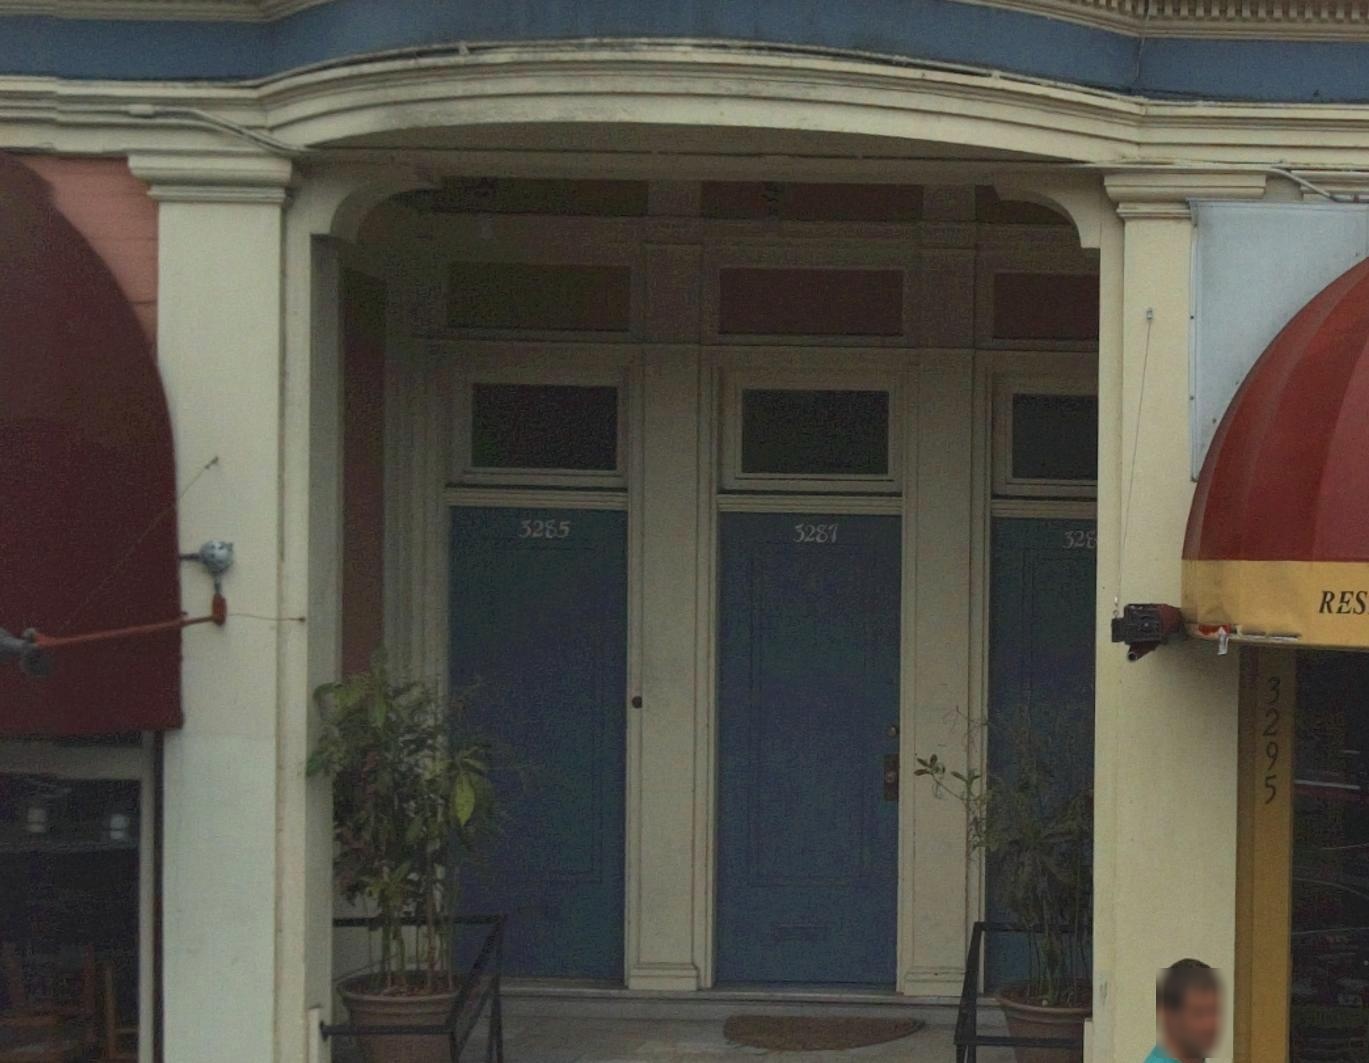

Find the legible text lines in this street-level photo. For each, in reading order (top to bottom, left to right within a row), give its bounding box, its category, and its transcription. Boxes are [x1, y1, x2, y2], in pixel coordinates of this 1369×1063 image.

[517, 518, 571, 540] StreetNumber: 3285
[791, 522, 839, 545] StreetNumber: 3287
[1061, 529, 1097, 550] StreetNumber: 328
[1314, 588, 1369, 616] BusinessName: RES
[1262, 674, 1283, 806] StreetNumber: 3295